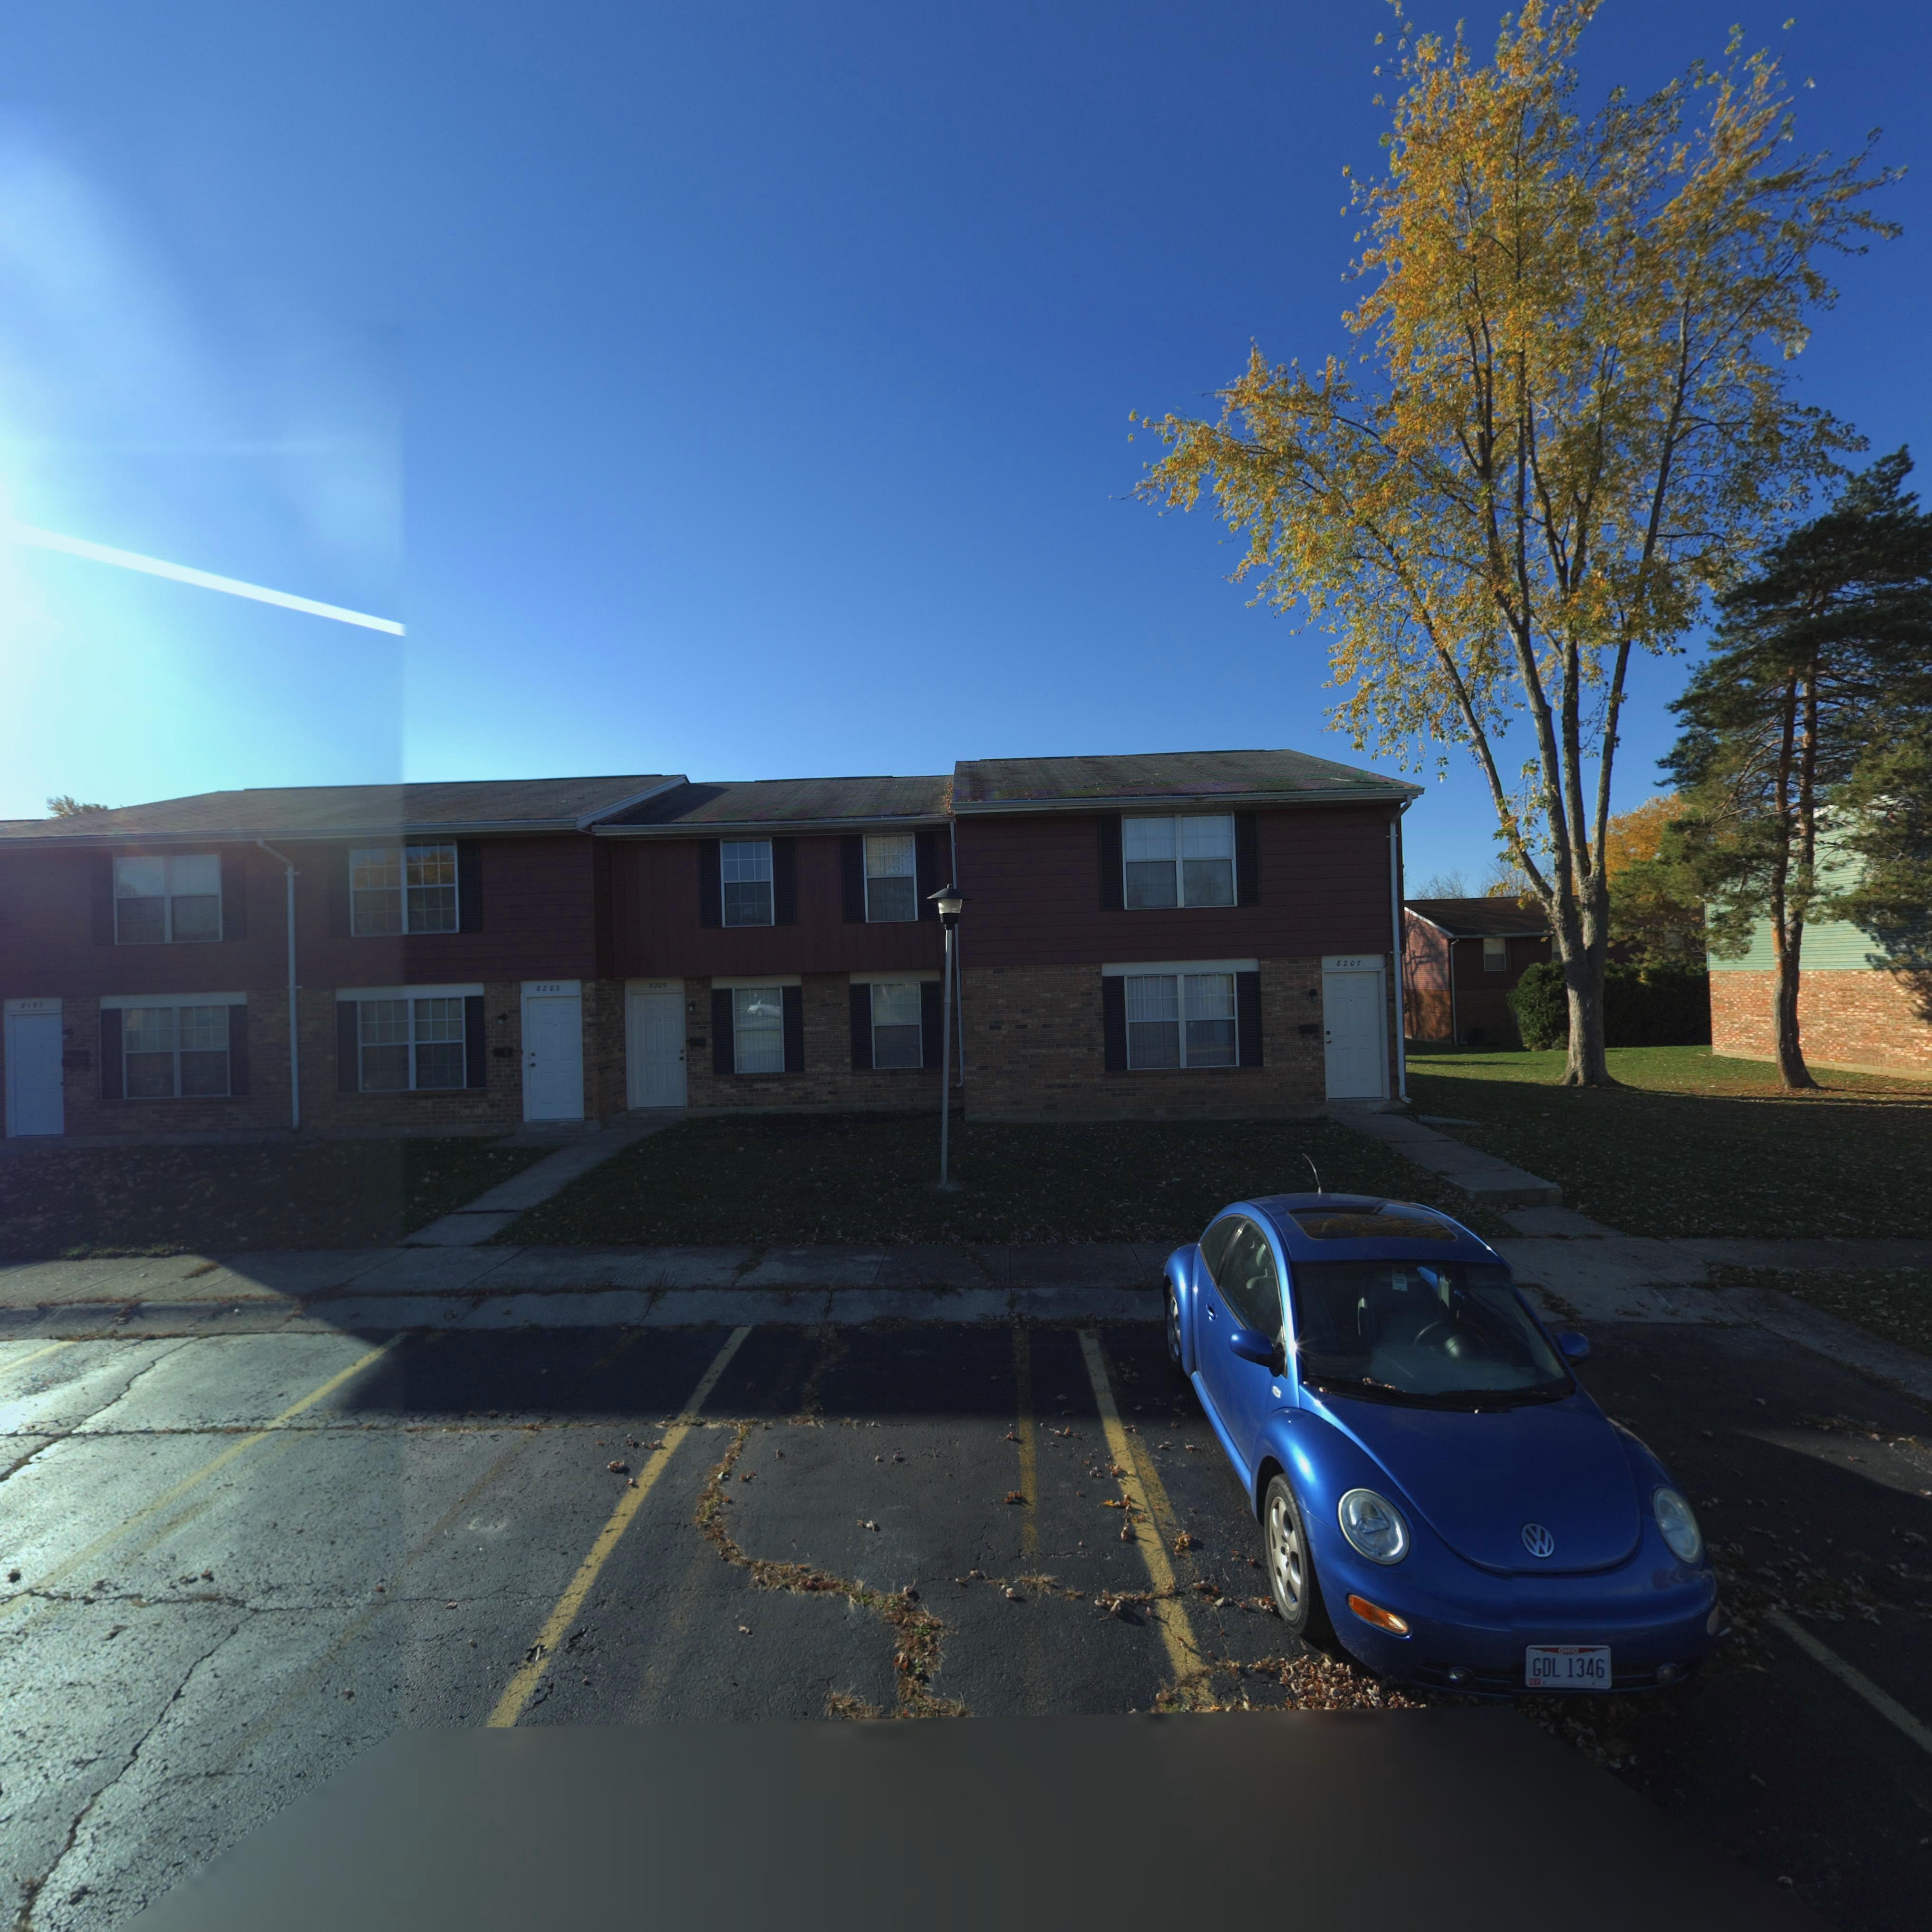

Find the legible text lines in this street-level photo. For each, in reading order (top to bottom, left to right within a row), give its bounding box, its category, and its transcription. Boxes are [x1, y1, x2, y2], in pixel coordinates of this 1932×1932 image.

[1336, 959, 1362, 967] StreetNumber: 8207
[535, 985, 560, 992] StreetNumber: 8203
[648, 982, 667, 989] StreetNumber: 8205
[19, 1001, 44, 1009] StreetNumber: 8197